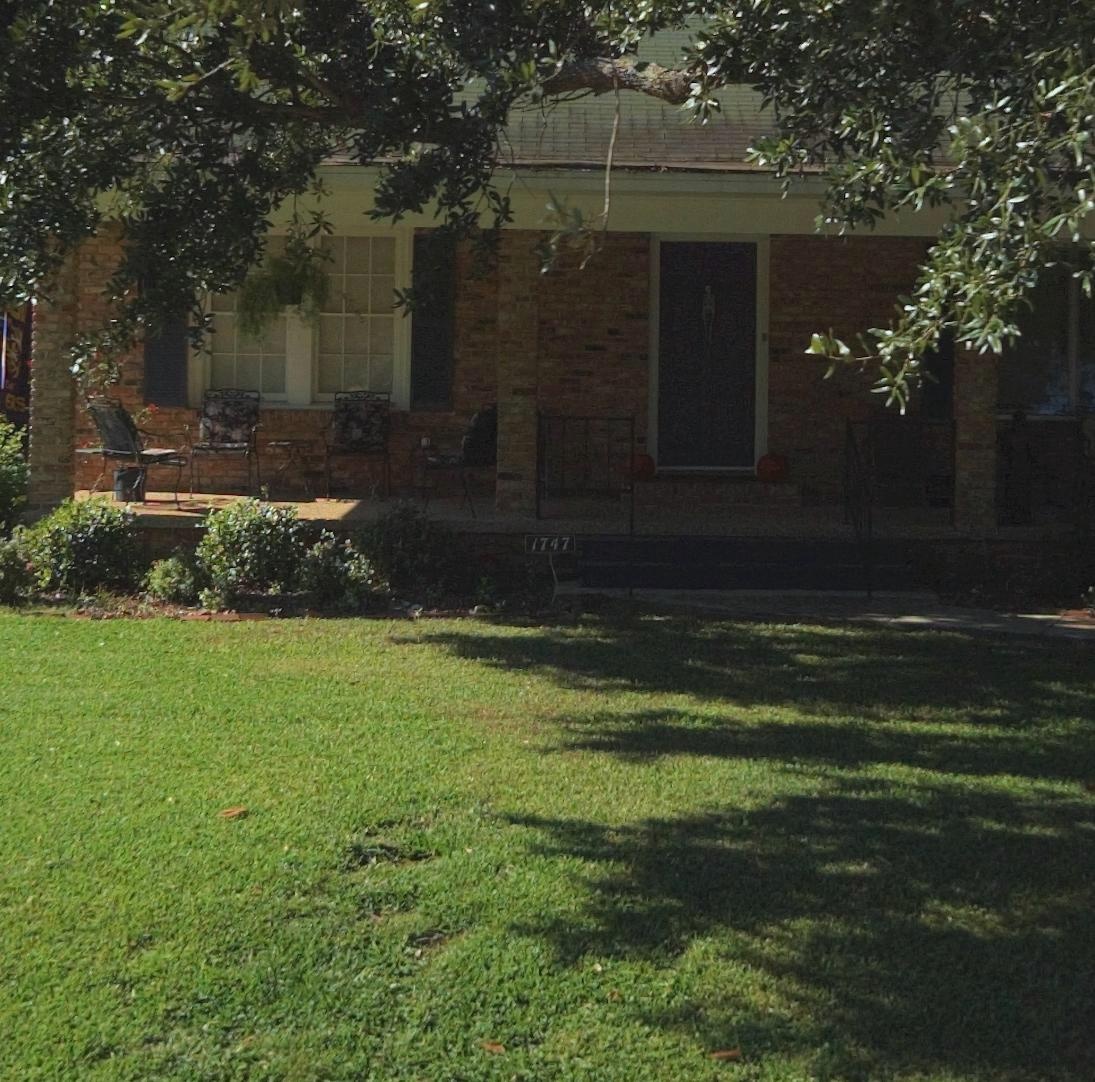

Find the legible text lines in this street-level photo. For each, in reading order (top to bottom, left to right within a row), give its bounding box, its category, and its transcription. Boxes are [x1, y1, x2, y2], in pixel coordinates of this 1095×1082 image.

[530, 536, 571, 553] StreetNumber: 1747